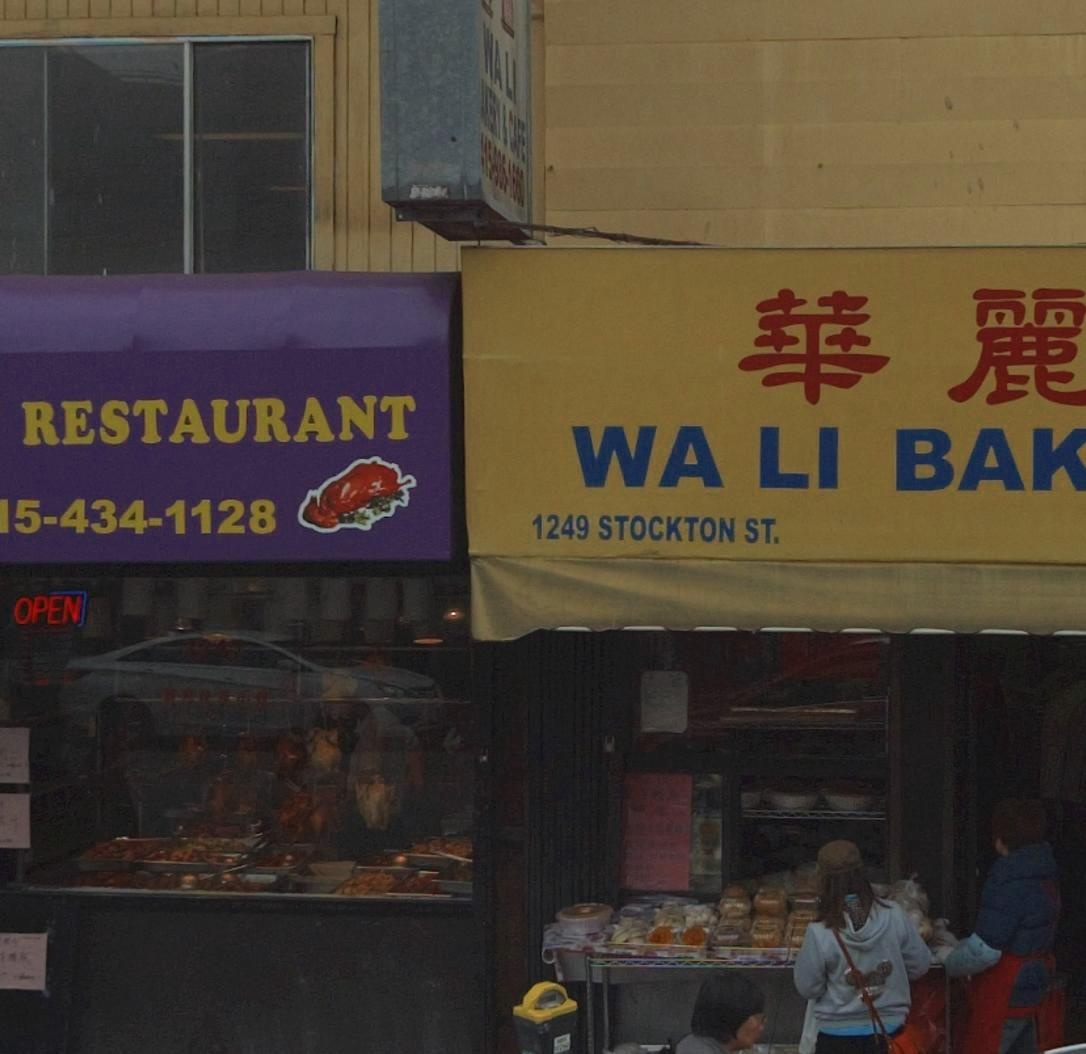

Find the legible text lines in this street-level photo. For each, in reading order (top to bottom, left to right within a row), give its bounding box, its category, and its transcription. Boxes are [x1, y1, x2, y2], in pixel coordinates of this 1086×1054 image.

[479, 17, 523, 113] BusinessName: WALI
[17, 388, 421, 452] BusinessName: RESTAURANT
[559, 417, 1036, 500] BusinessName: WA LI BA
[10, 493, 285, 542] None: 5-434-1128
[529, 510, 594, 545] StreetNumber: 1249
[593, 511, 785, 548] StreetName: STOCKTON ST.
[9, 590, 87, 628] None: OPEN